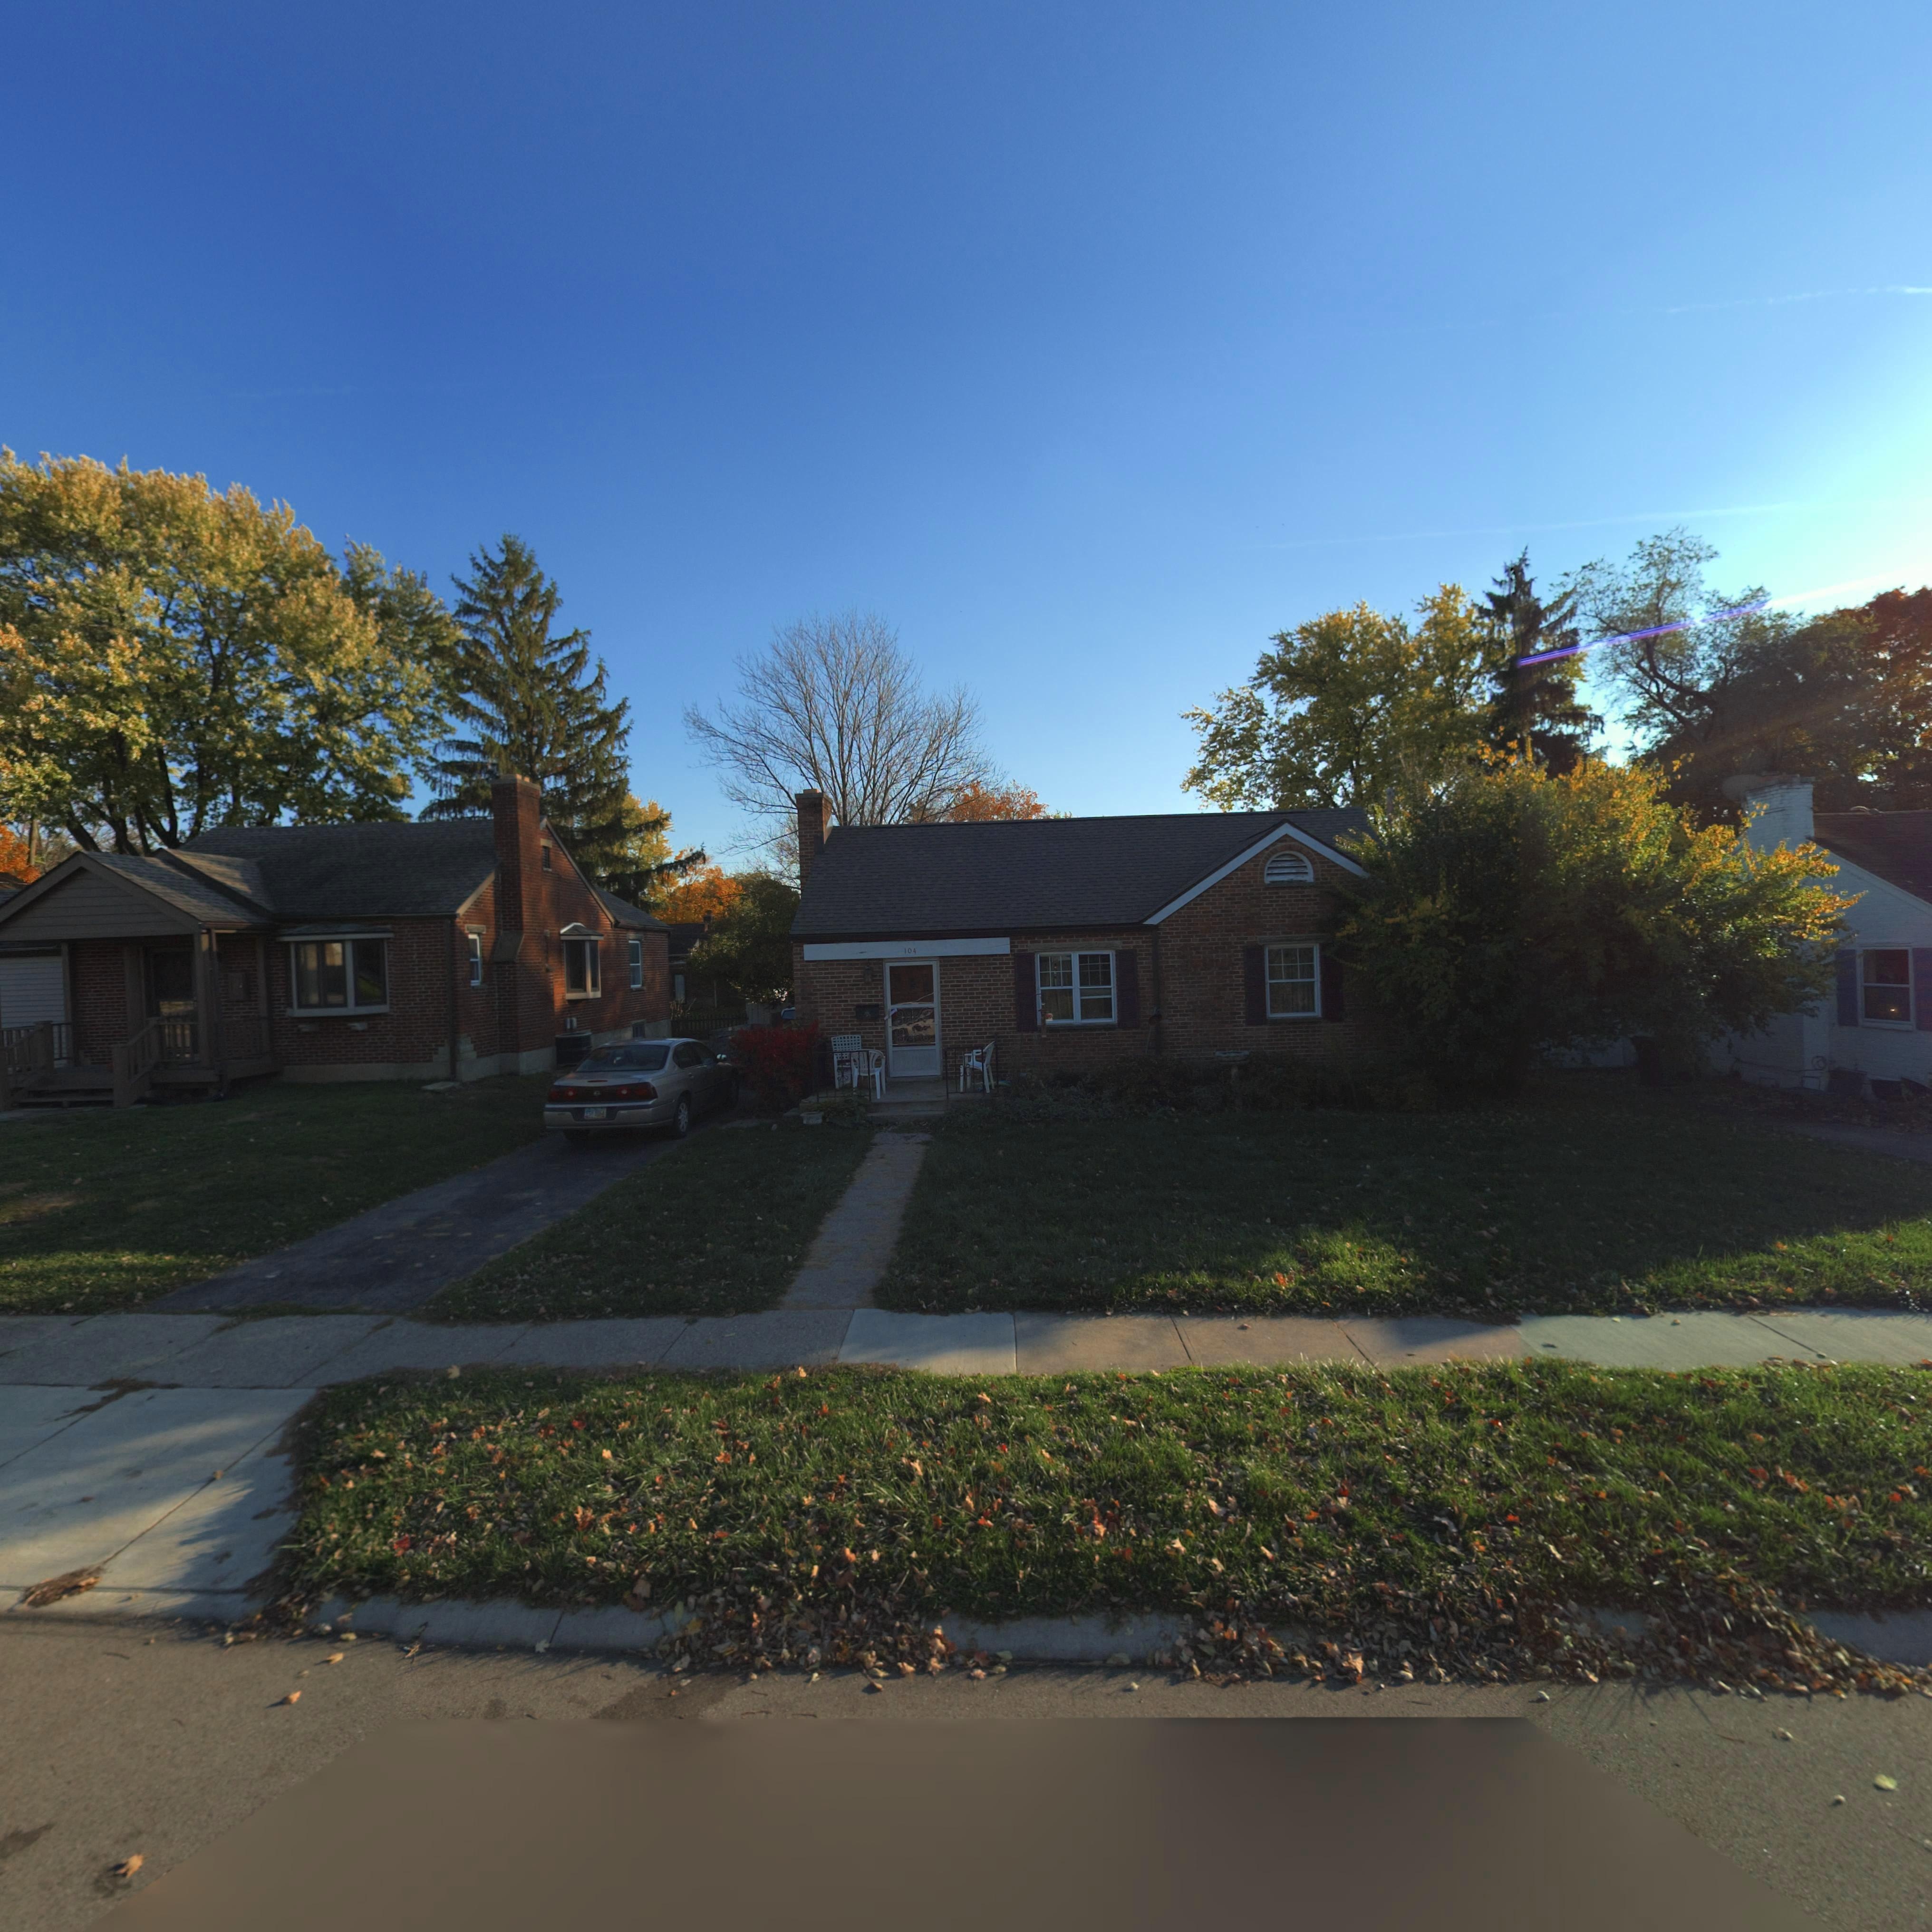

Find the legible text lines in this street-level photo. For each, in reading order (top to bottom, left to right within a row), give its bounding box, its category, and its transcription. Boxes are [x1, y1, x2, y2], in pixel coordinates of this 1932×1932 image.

[903, 947, 918, 955] StreetNumber: 104